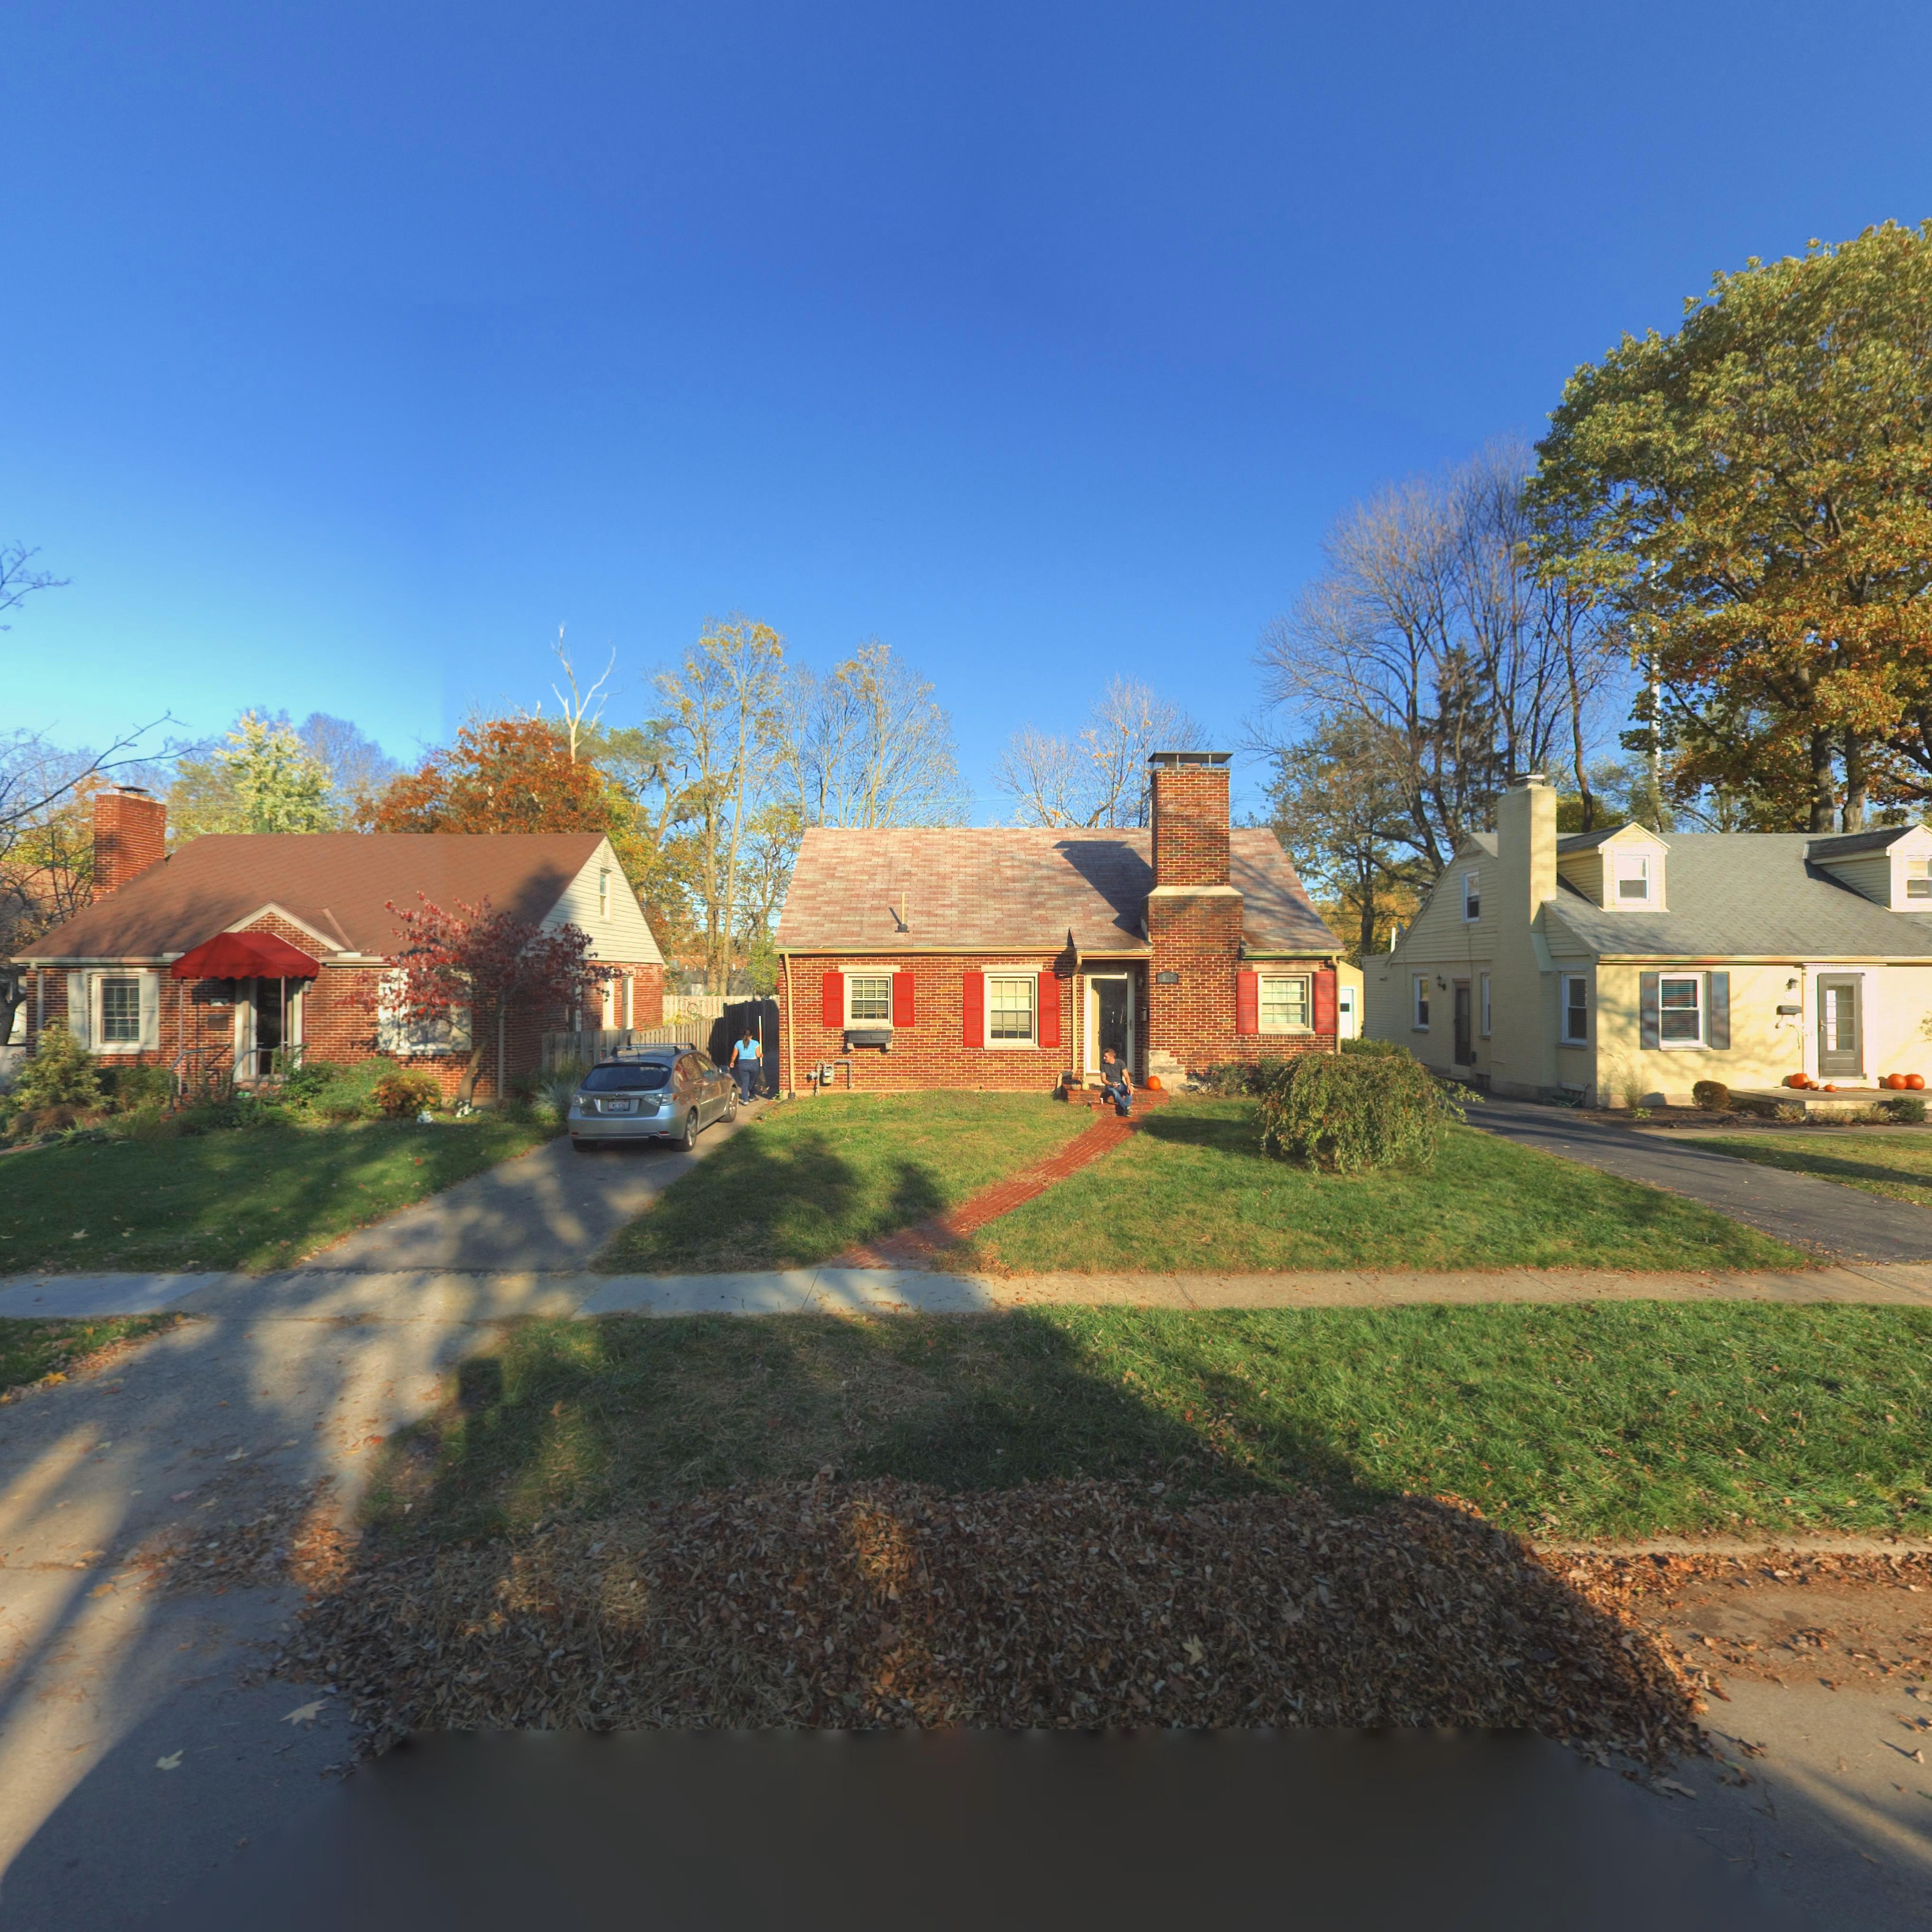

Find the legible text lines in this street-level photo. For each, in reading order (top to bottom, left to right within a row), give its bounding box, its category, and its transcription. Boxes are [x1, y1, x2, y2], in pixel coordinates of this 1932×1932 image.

[1162, 974, 1174, 981] StreetNumber: 810